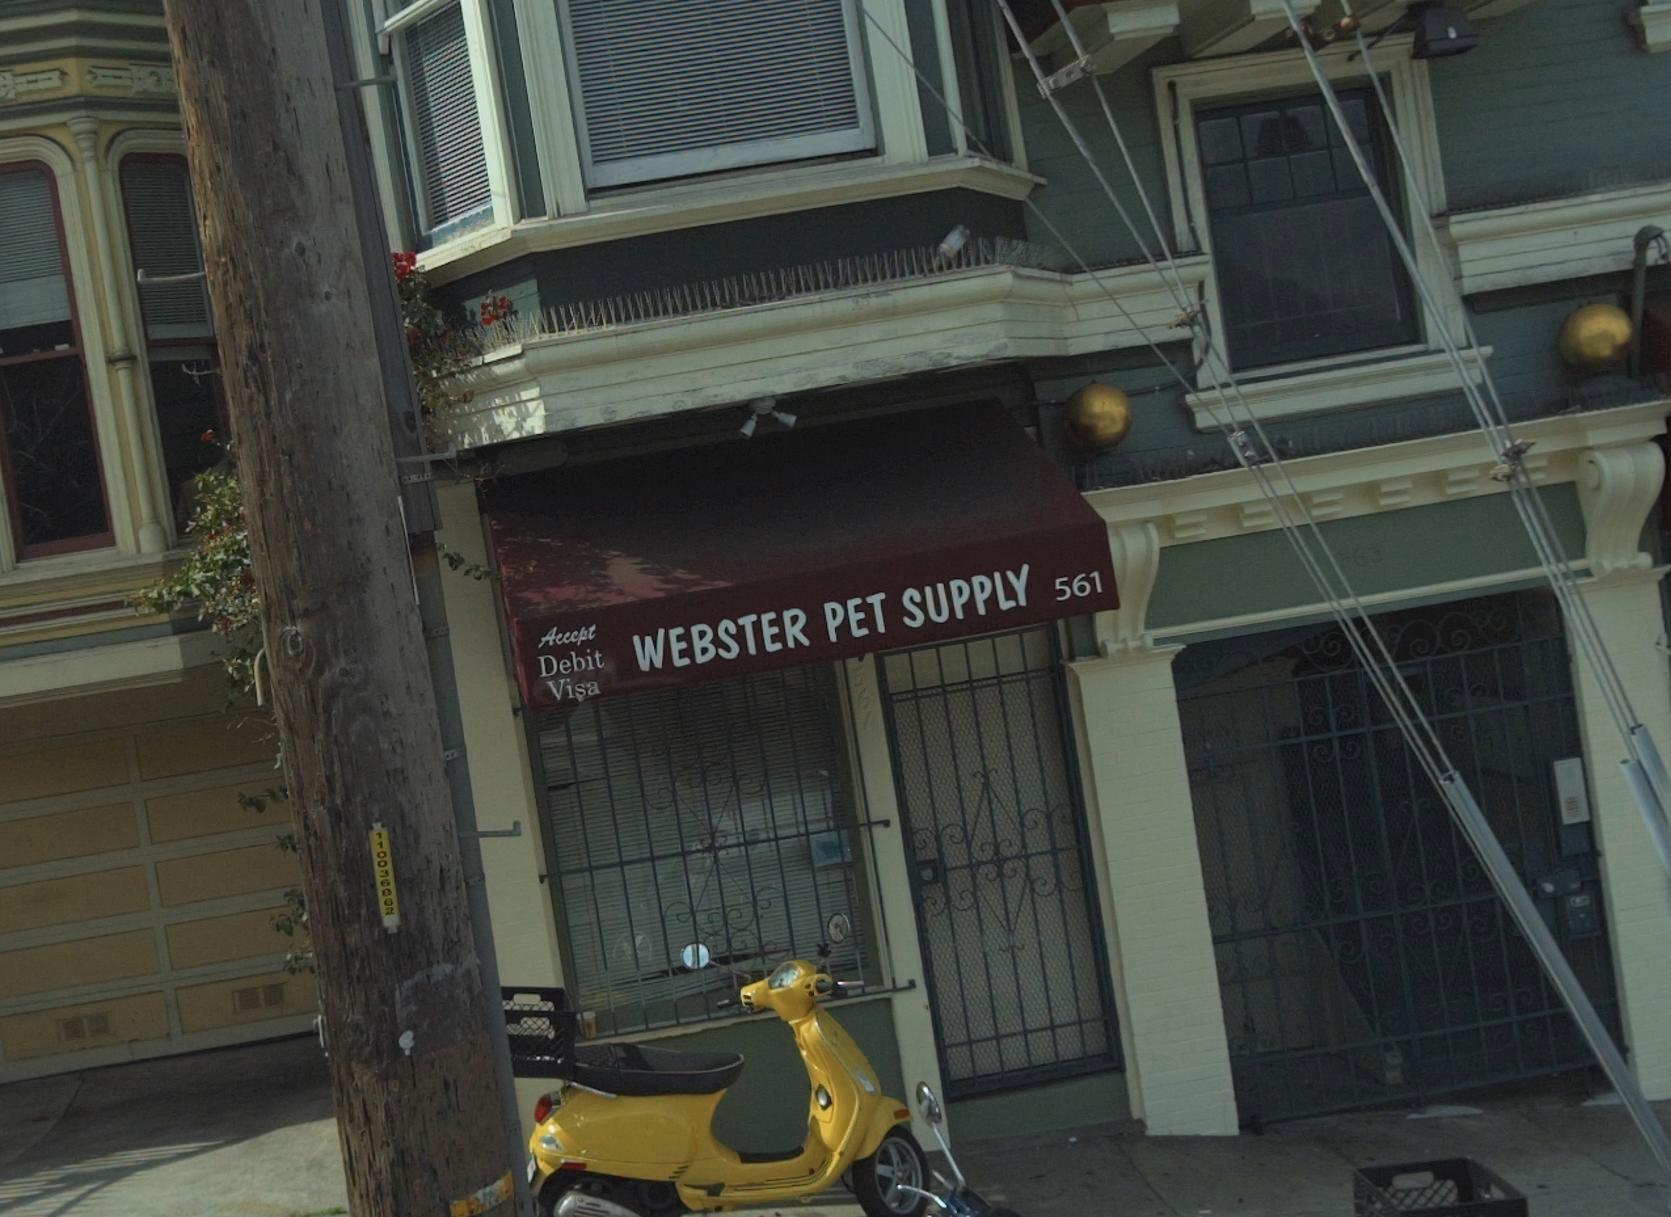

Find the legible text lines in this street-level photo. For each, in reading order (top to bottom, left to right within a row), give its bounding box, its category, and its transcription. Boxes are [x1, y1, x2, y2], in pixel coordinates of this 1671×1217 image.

[1051, 567, 1105, 604] StreetNumber: 561
[534, 623, 598, 650] None: Accept
[626, 559, 1035, 677] BusinessName: WEBSTER PET SUPPLY
[535, 646, 608, 681] None: Debit
[542, 675, 605, 703] None: Visa
[848, 660, 876, 739] StreetNumber: 561
[373, 828, 397, 917] None: 110036**2